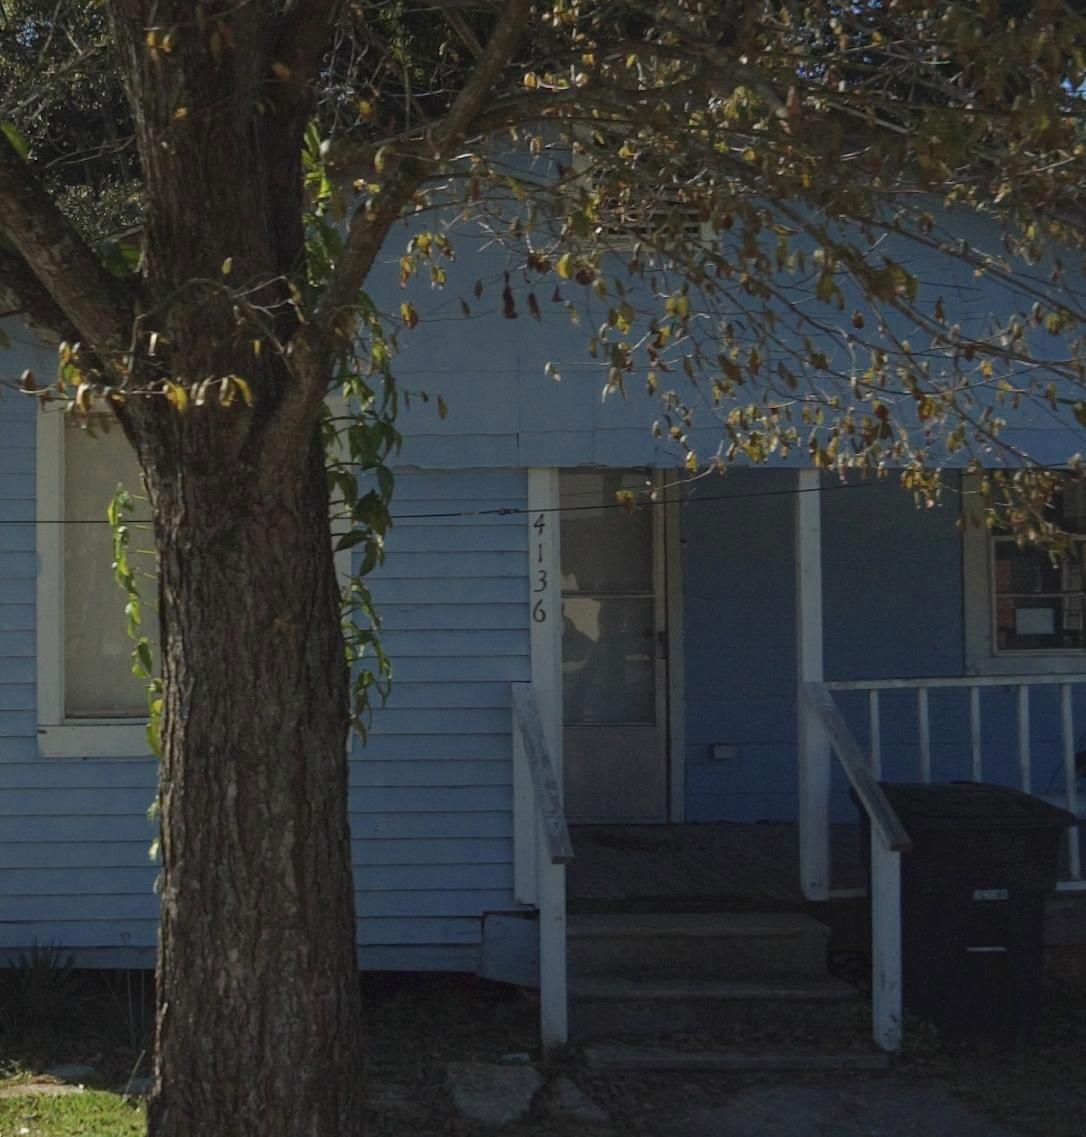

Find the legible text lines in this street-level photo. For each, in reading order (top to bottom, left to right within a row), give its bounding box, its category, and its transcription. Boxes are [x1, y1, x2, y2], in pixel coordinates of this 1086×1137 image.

[529, 511, 550, 625] StreetNumber: 4136